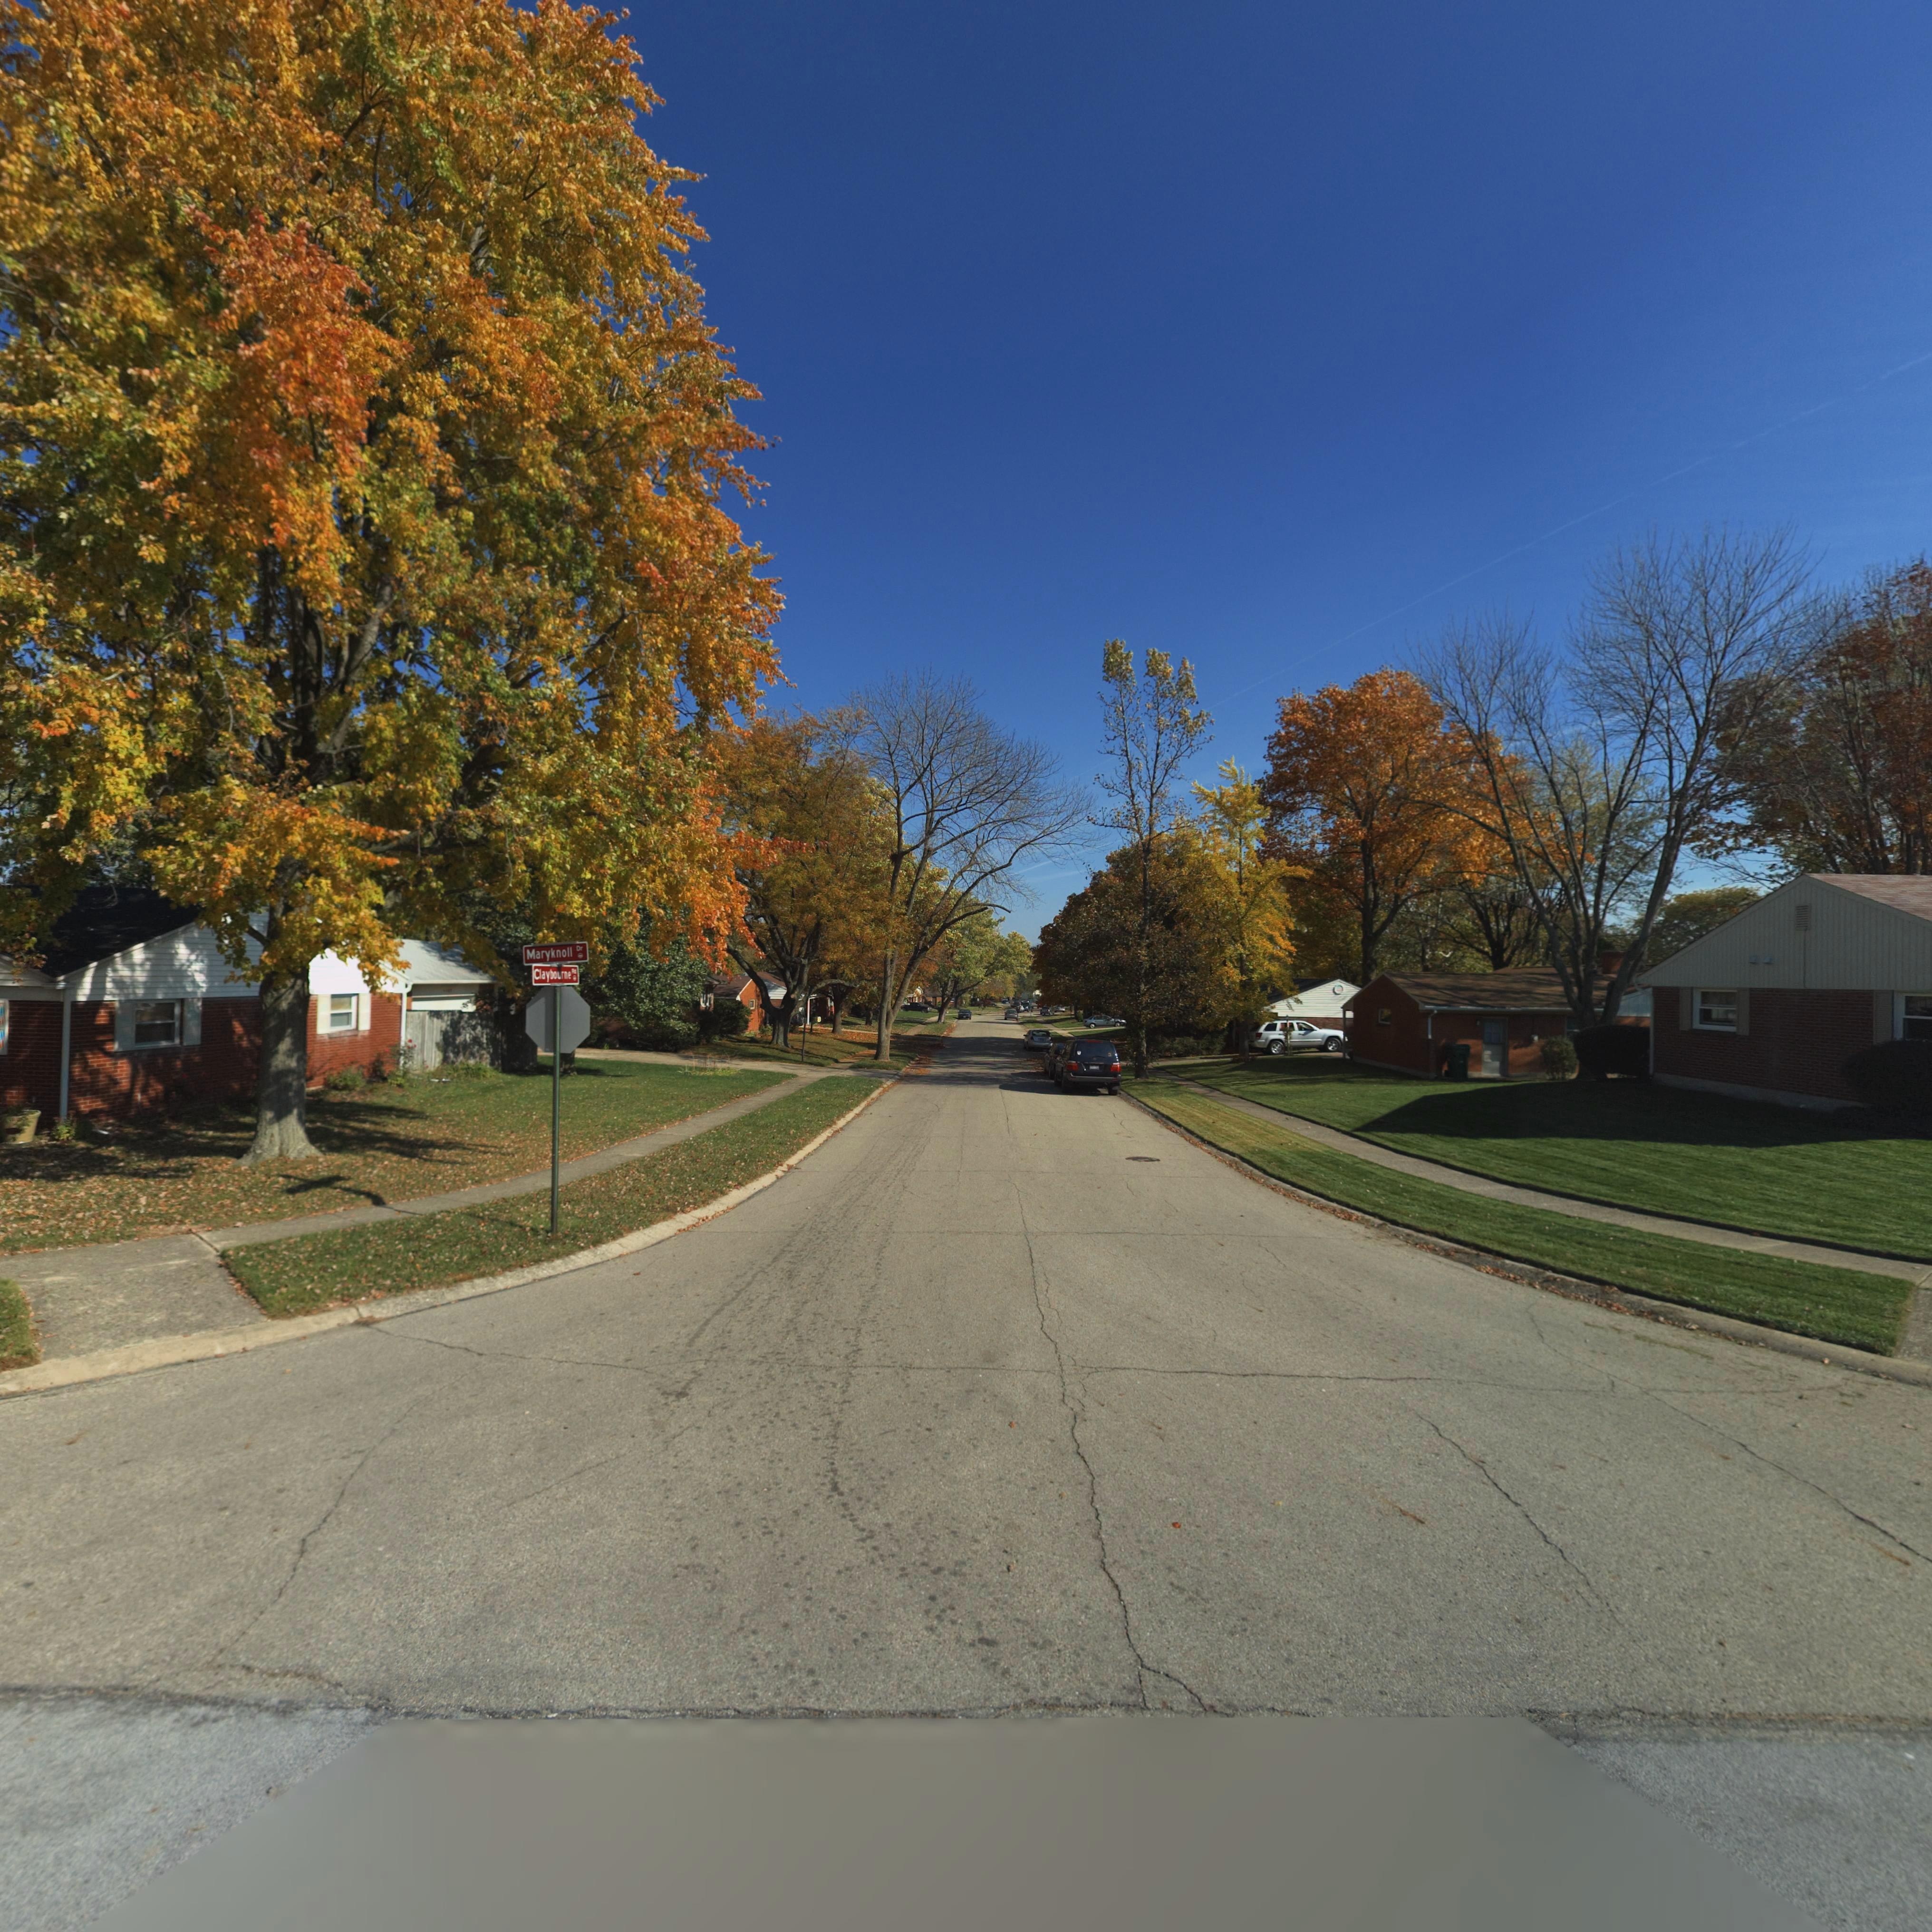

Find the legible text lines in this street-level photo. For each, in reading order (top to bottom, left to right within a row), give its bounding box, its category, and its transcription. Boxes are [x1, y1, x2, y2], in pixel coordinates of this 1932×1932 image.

[526, 945, 583, 962] StreetName: Maryknoll Dr
[534, 968, 577, 983] StreetName: Claybourne Rd